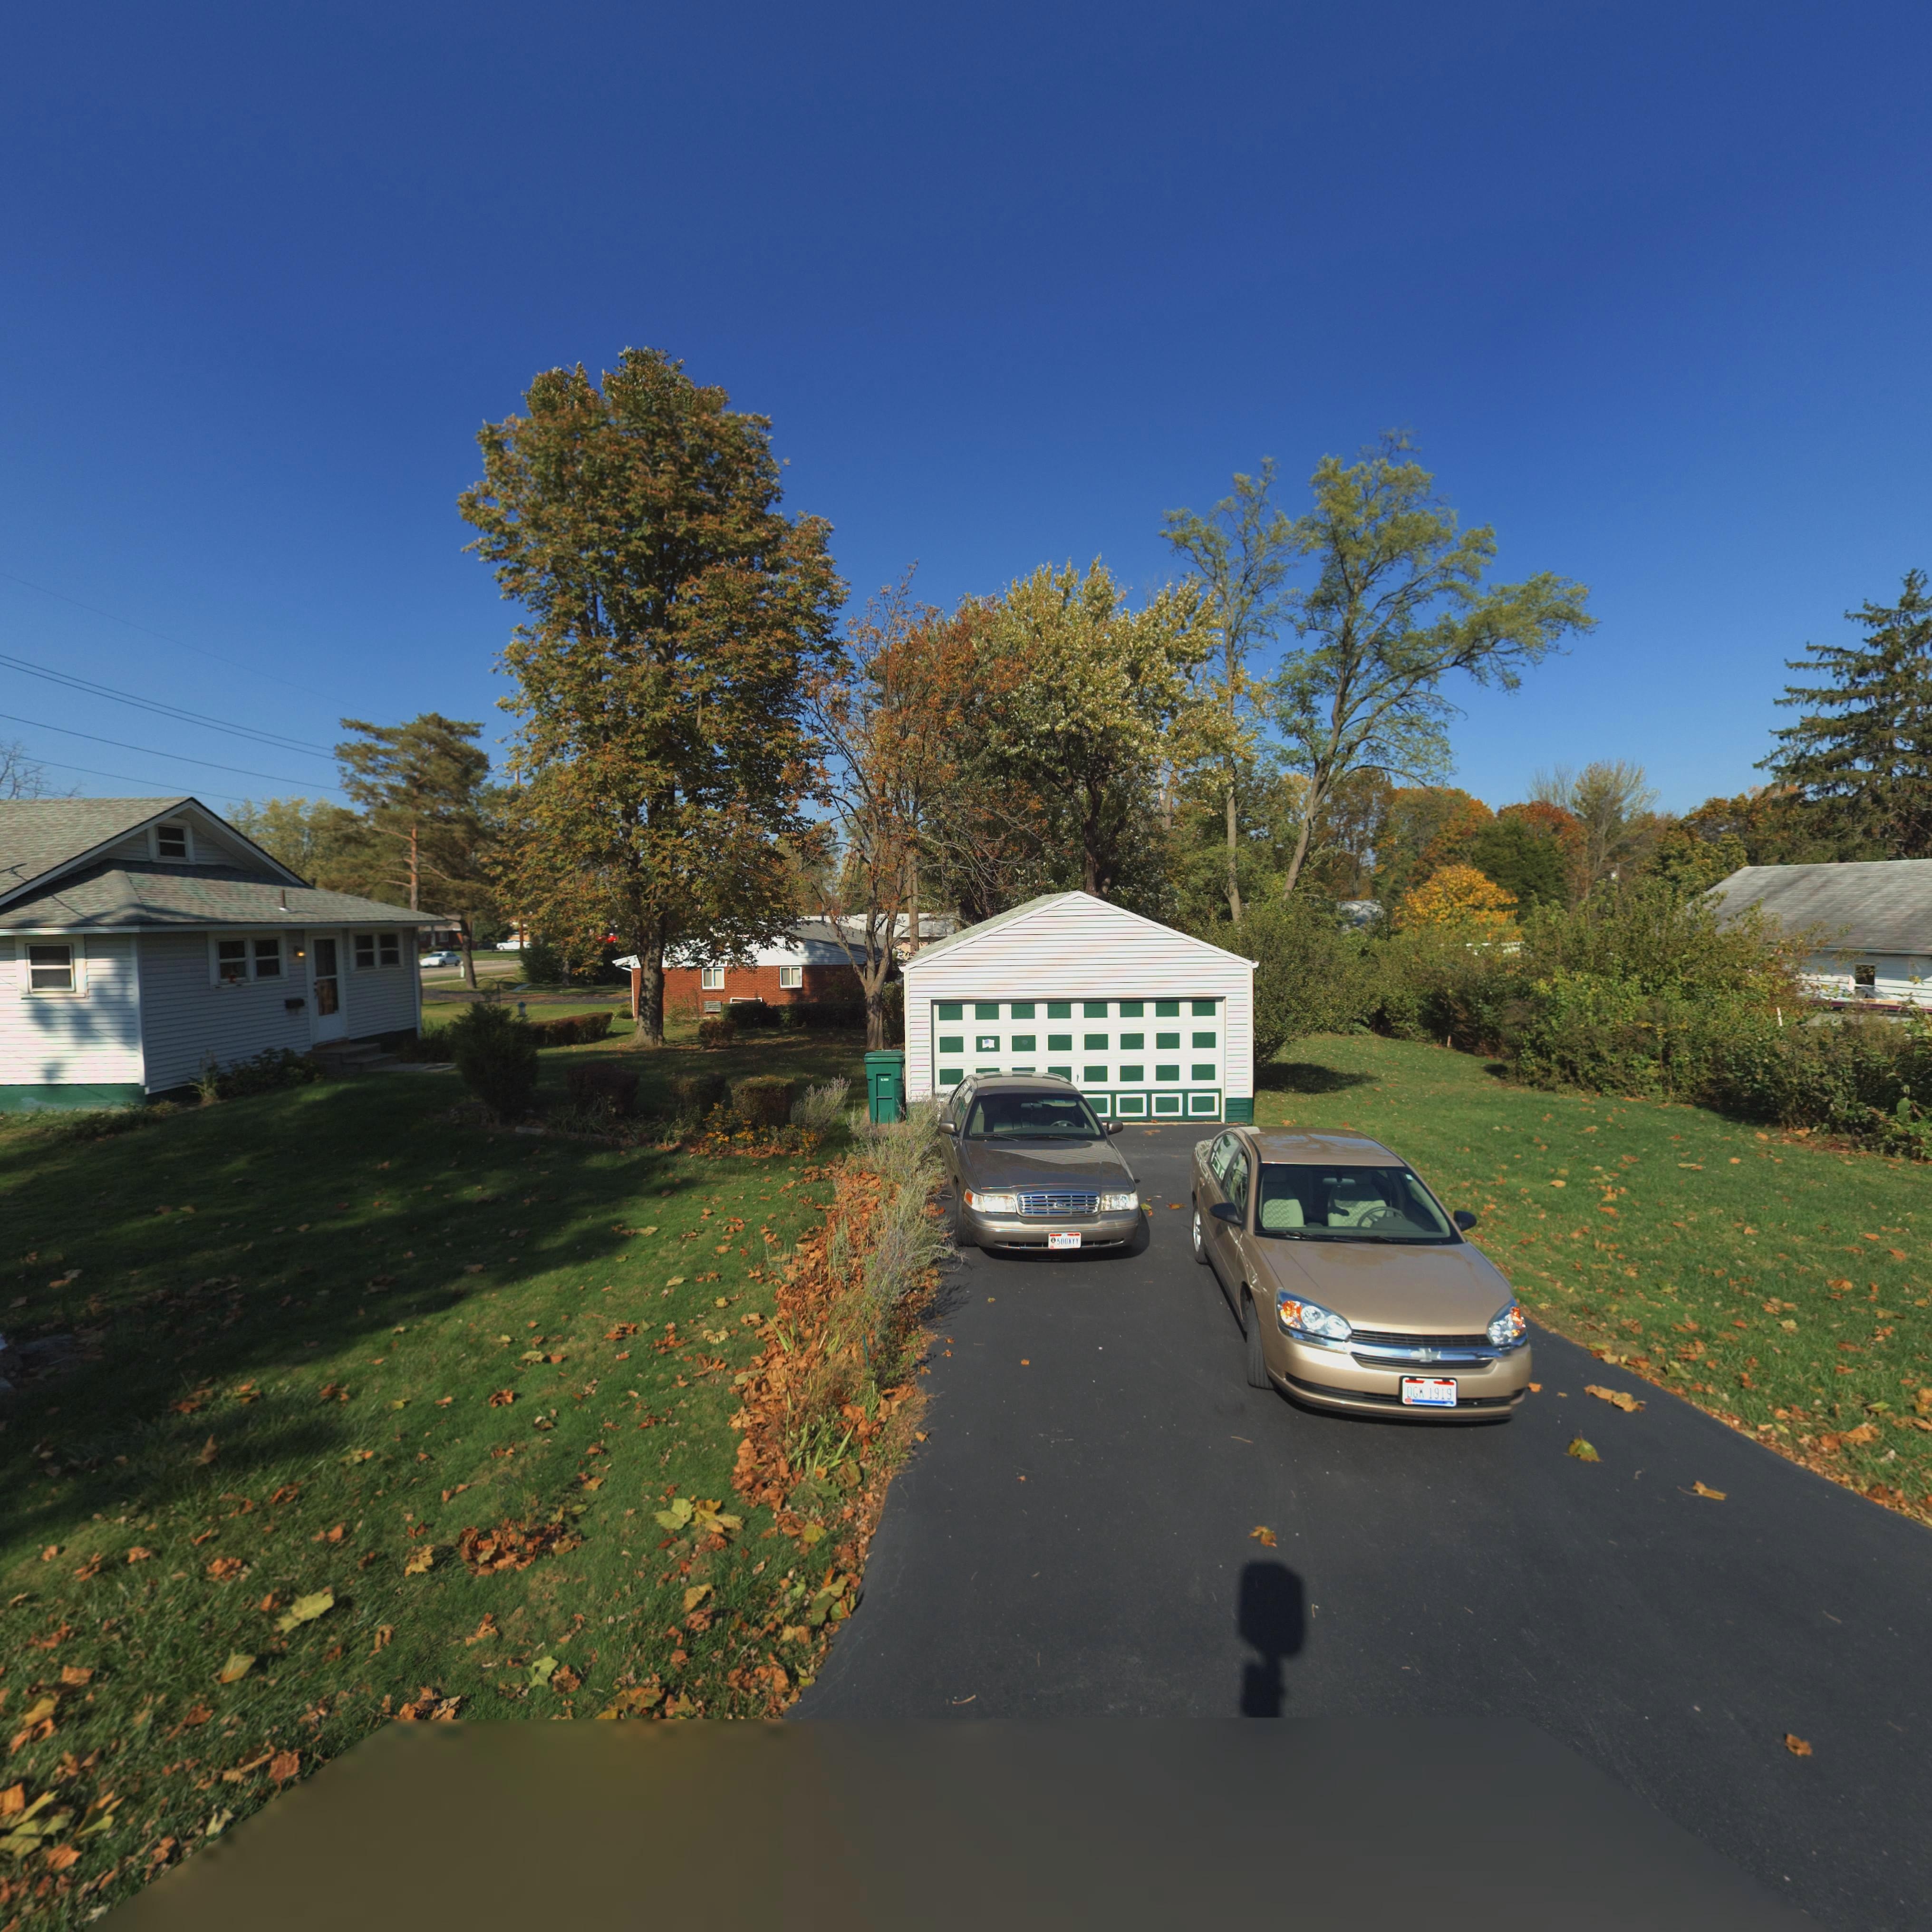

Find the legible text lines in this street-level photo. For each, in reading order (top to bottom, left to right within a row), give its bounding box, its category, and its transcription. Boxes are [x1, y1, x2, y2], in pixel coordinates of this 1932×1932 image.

[1056, 1238, 1079, 1245] None: 5DDXYY
[1406, 1385, 1452, 1401] None: DGK 1919